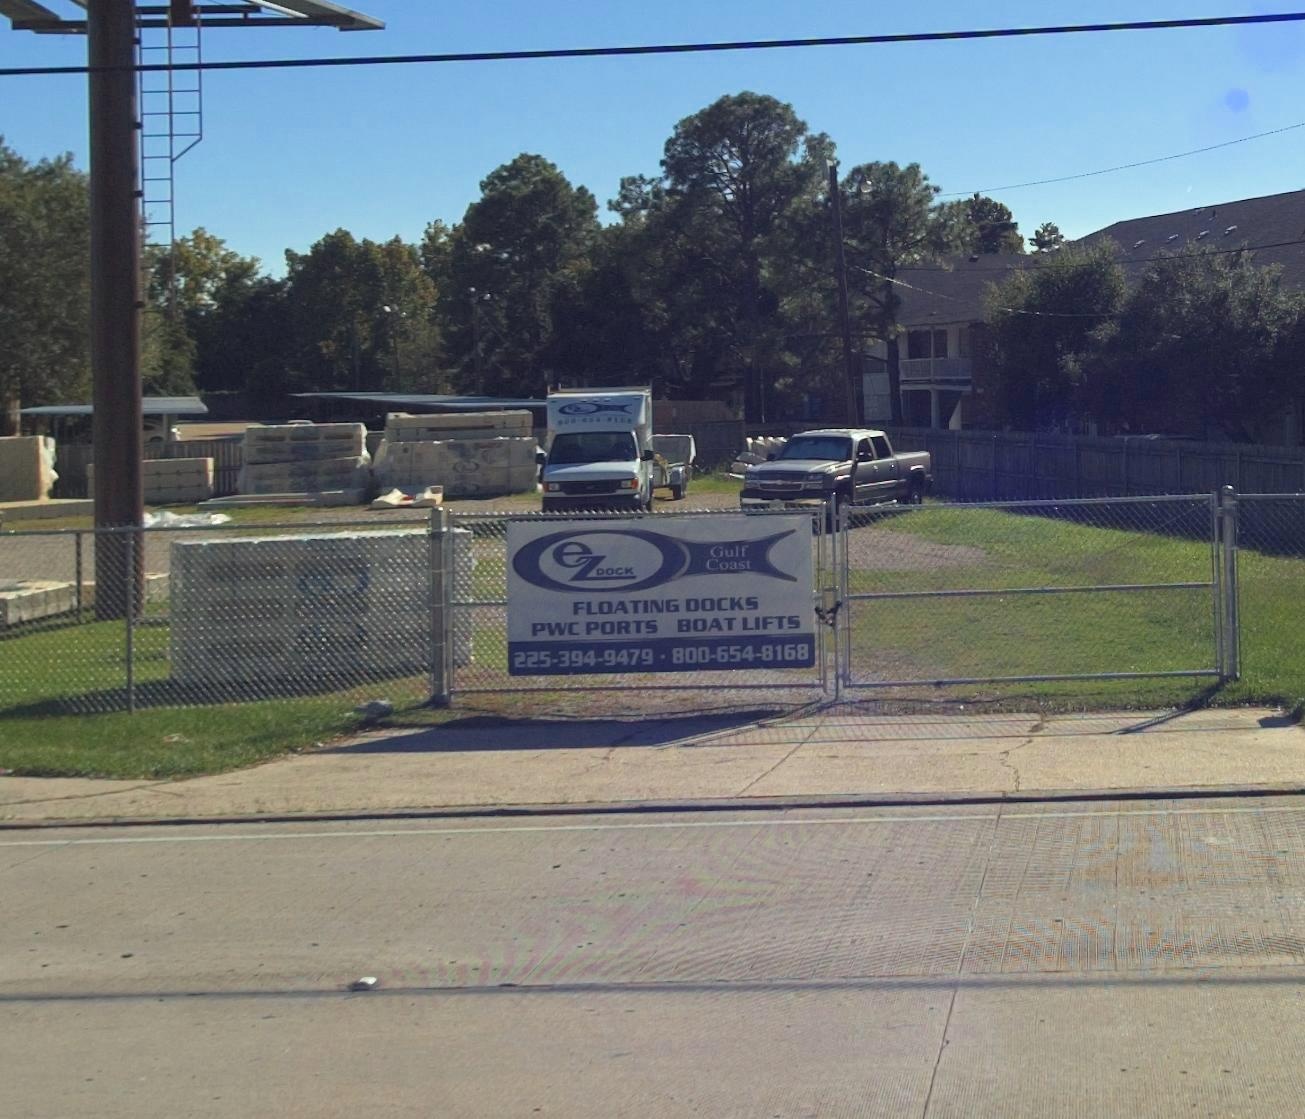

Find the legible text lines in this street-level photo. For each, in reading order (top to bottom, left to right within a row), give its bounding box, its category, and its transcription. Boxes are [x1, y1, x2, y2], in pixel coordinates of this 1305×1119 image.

[548, 538, 601, 572] BusinessName: e
[562, 554, 639, 583] BusinessName: z
[595, 565, 637, 577] BusinessName: DOCK
[706, 542, 751, 559] None: Gulf
[704, 557, 754, 575] None: Coast
[570, 594, 761, 618] None: FLOATING DOCKS
[528, 613, 803, 639] None: PWC PORTS BOAT LIFTS
[511, 640, 812, 672] None: 225-394-9479 * 800-654-8168